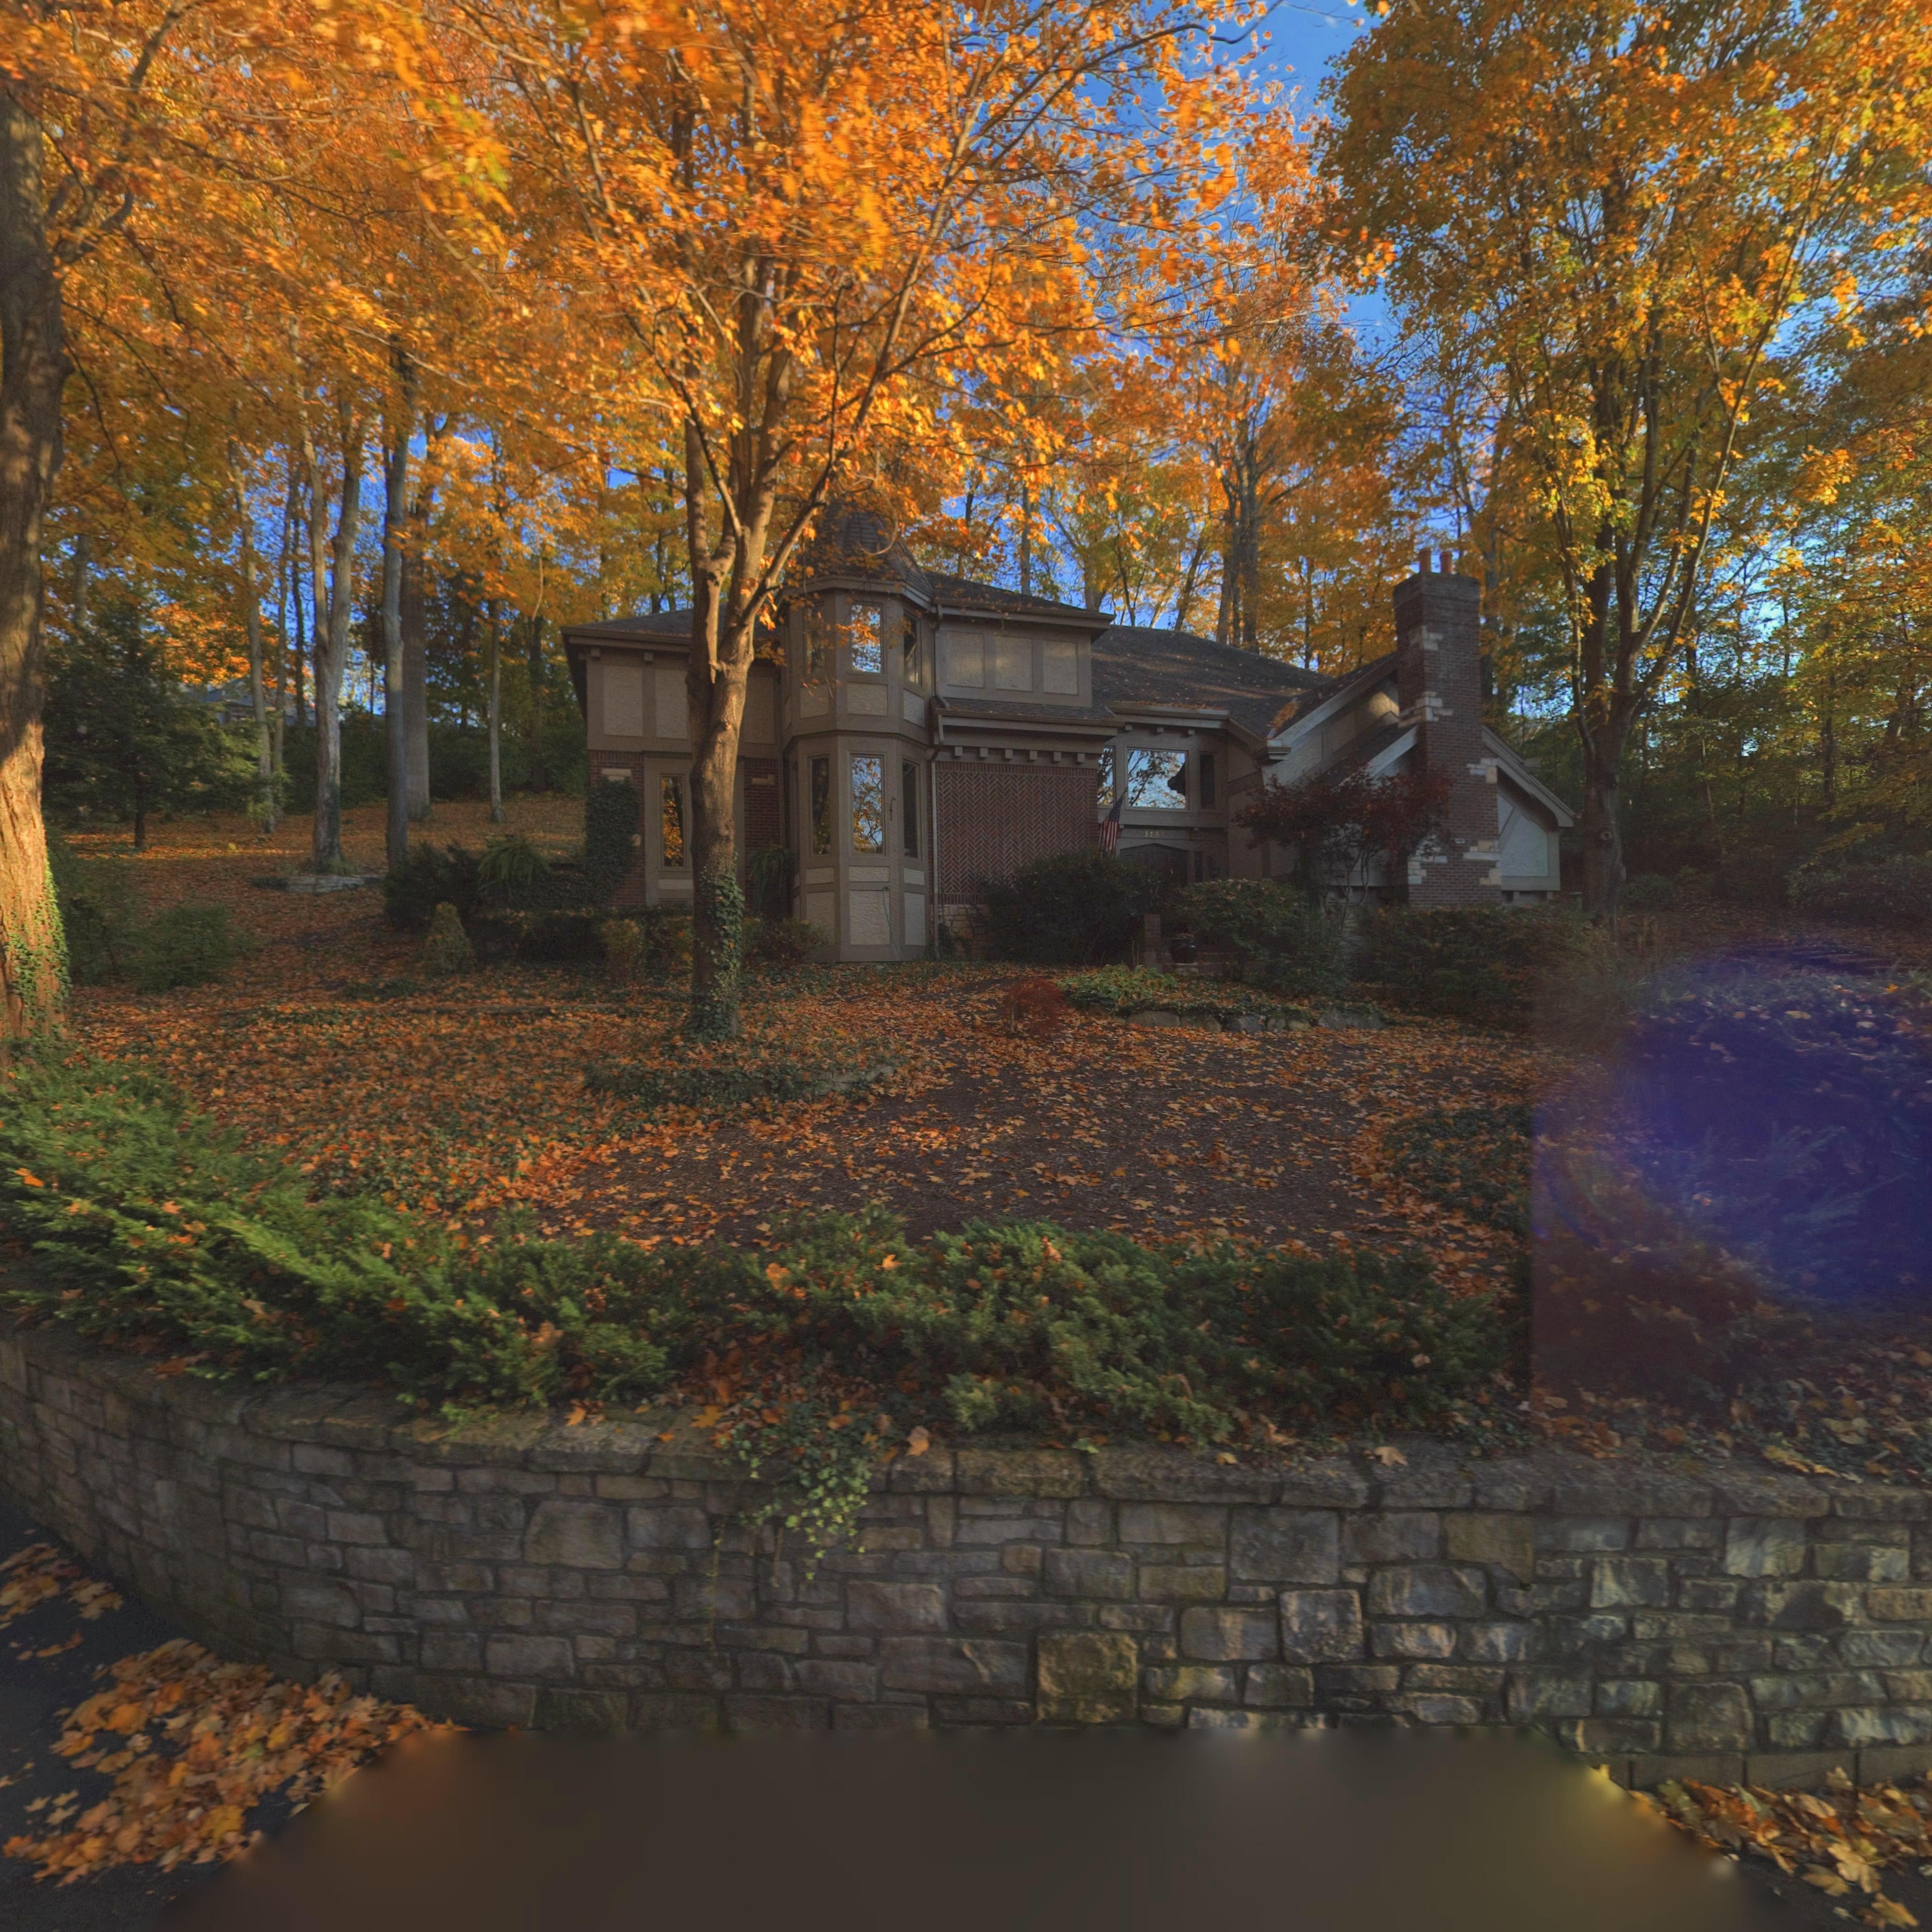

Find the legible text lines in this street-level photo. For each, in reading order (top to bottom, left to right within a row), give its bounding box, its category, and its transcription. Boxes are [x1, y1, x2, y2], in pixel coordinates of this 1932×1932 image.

[1144, 830, 1165, 838] StreetNumber: 3706